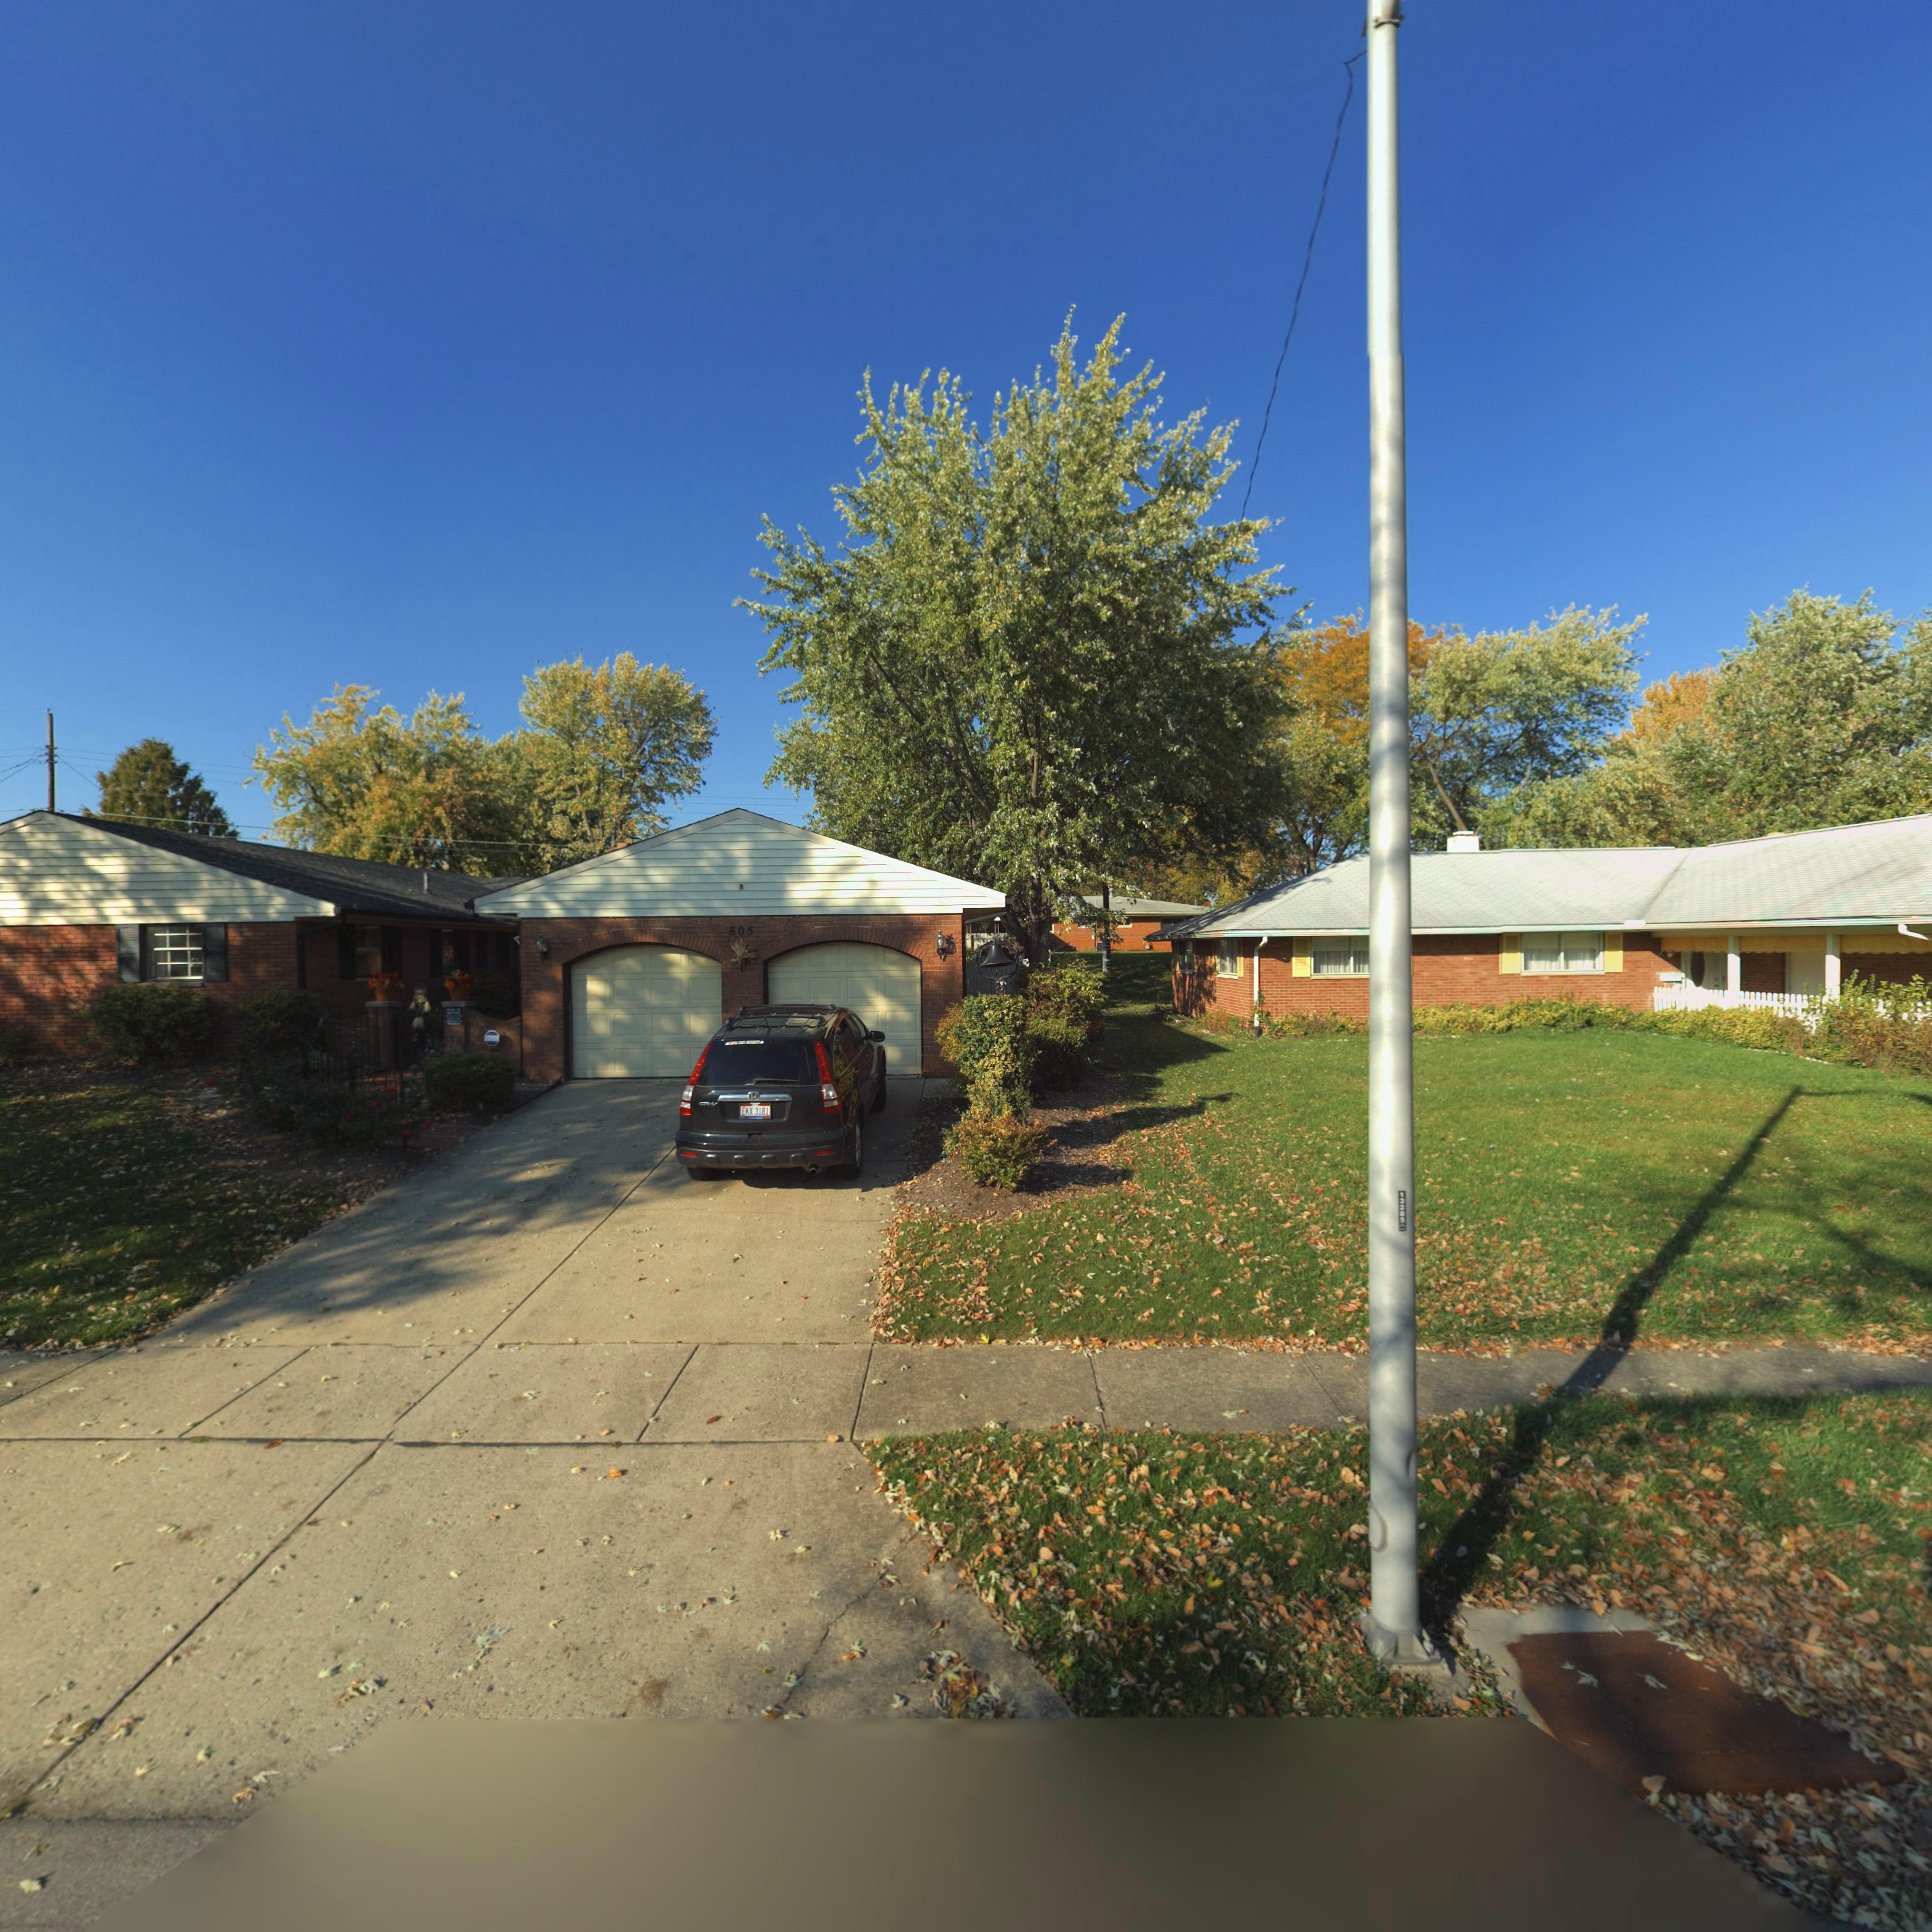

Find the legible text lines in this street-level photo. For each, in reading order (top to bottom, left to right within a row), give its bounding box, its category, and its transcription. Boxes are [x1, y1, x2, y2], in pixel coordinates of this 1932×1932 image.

[728, 926, 753, 935] StreetNumber: 805